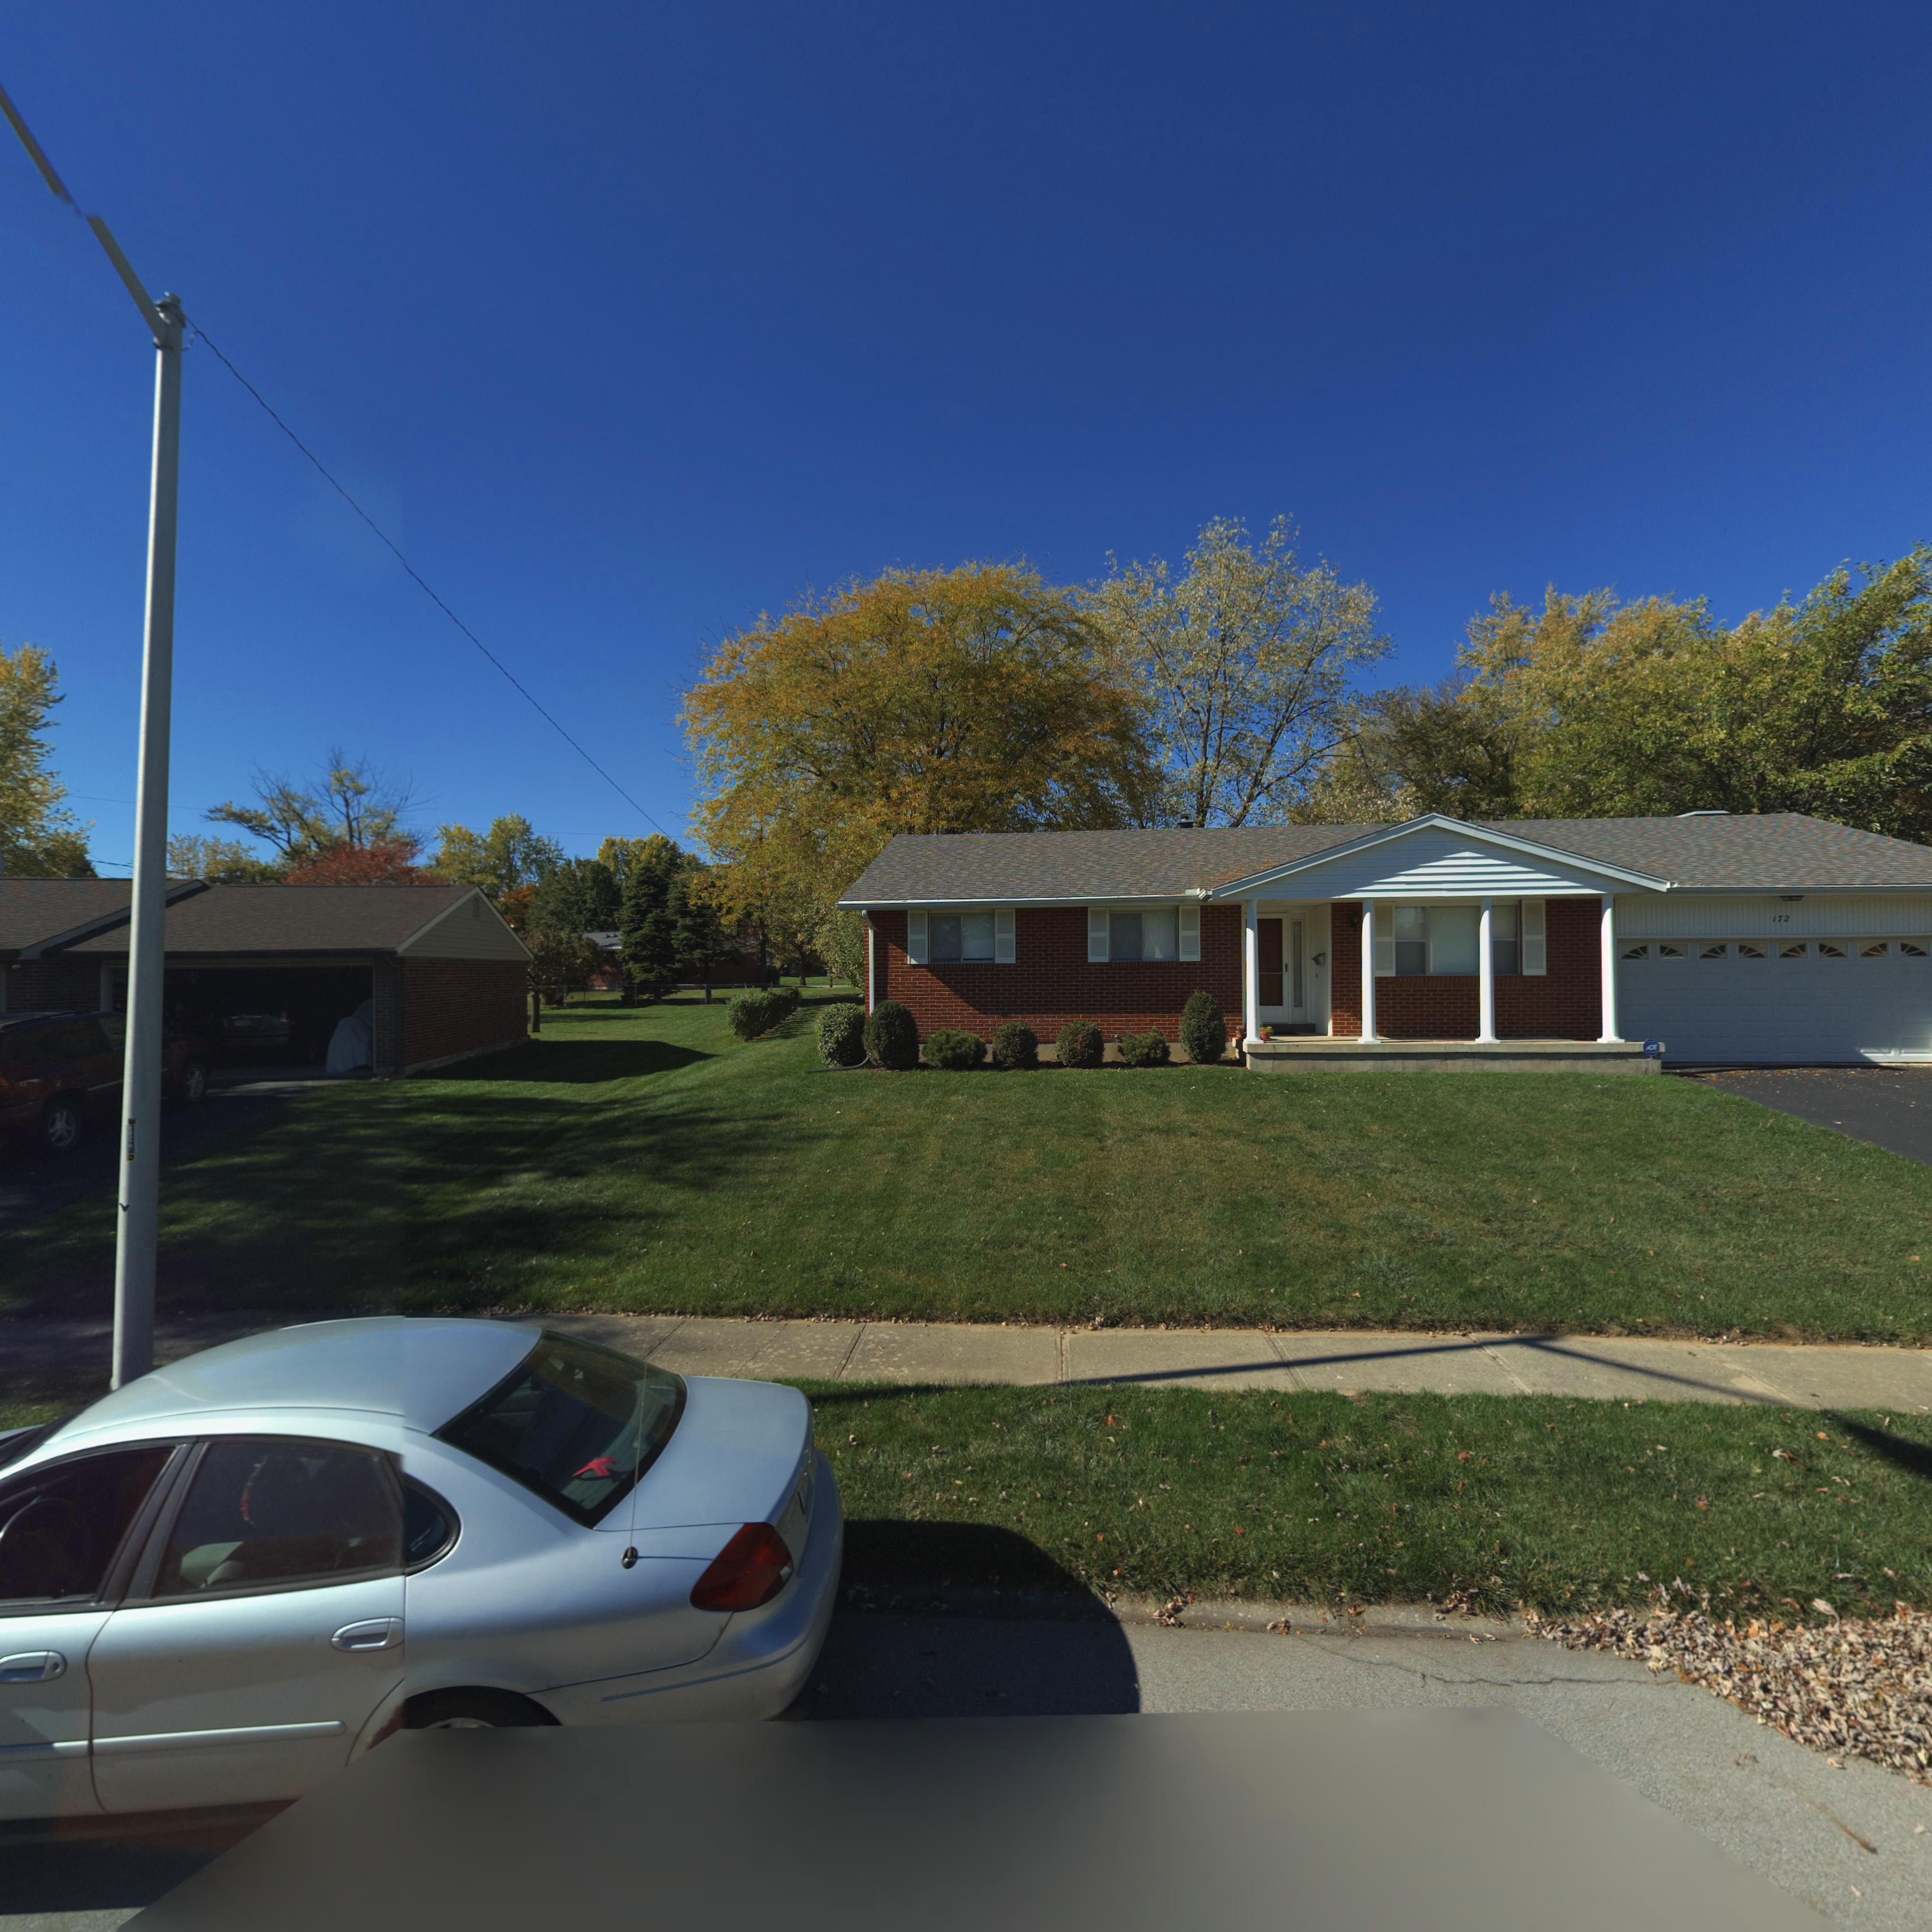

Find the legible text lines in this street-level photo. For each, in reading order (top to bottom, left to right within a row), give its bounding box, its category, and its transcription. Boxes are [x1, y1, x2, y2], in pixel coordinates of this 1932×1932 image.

[1771, 914, 1791, 923] StreetNumber: 172